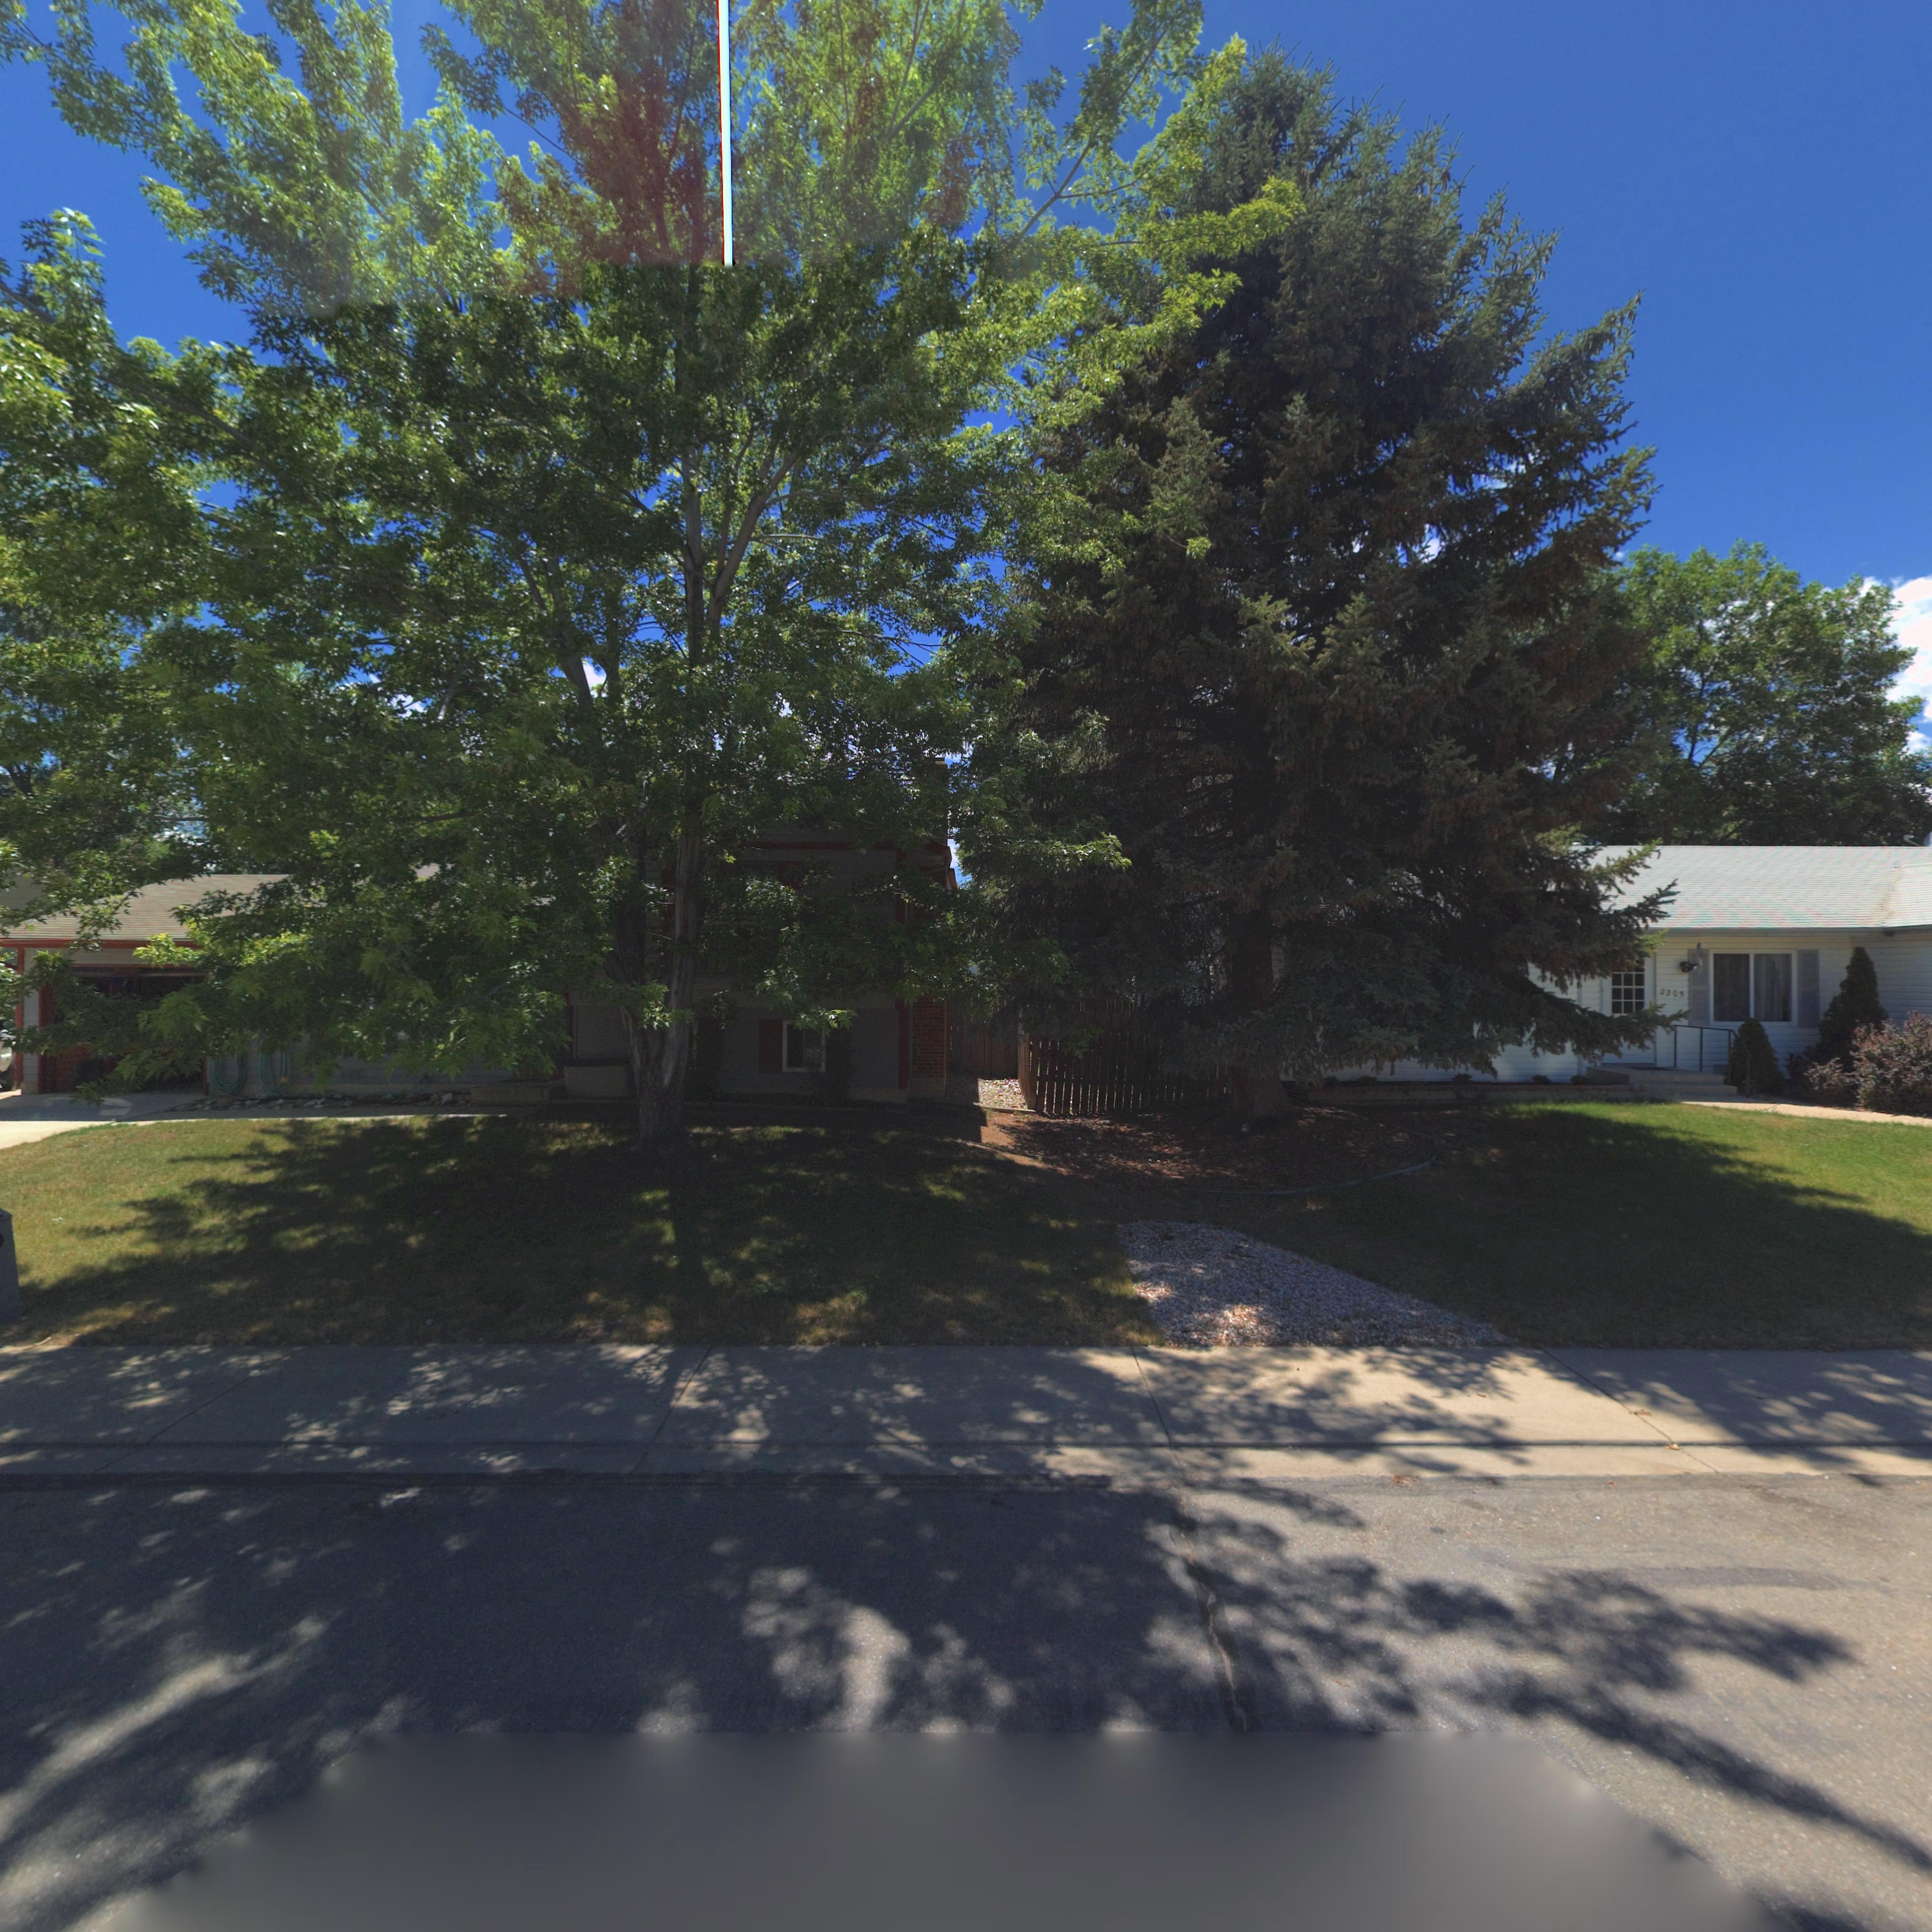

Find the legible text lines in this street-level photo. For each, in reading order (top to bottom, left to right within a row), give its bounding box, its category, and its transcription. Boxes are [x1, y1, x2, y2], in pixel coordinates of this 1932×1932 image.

[1659, 987, 1685, 998] StreetNumber: 2203